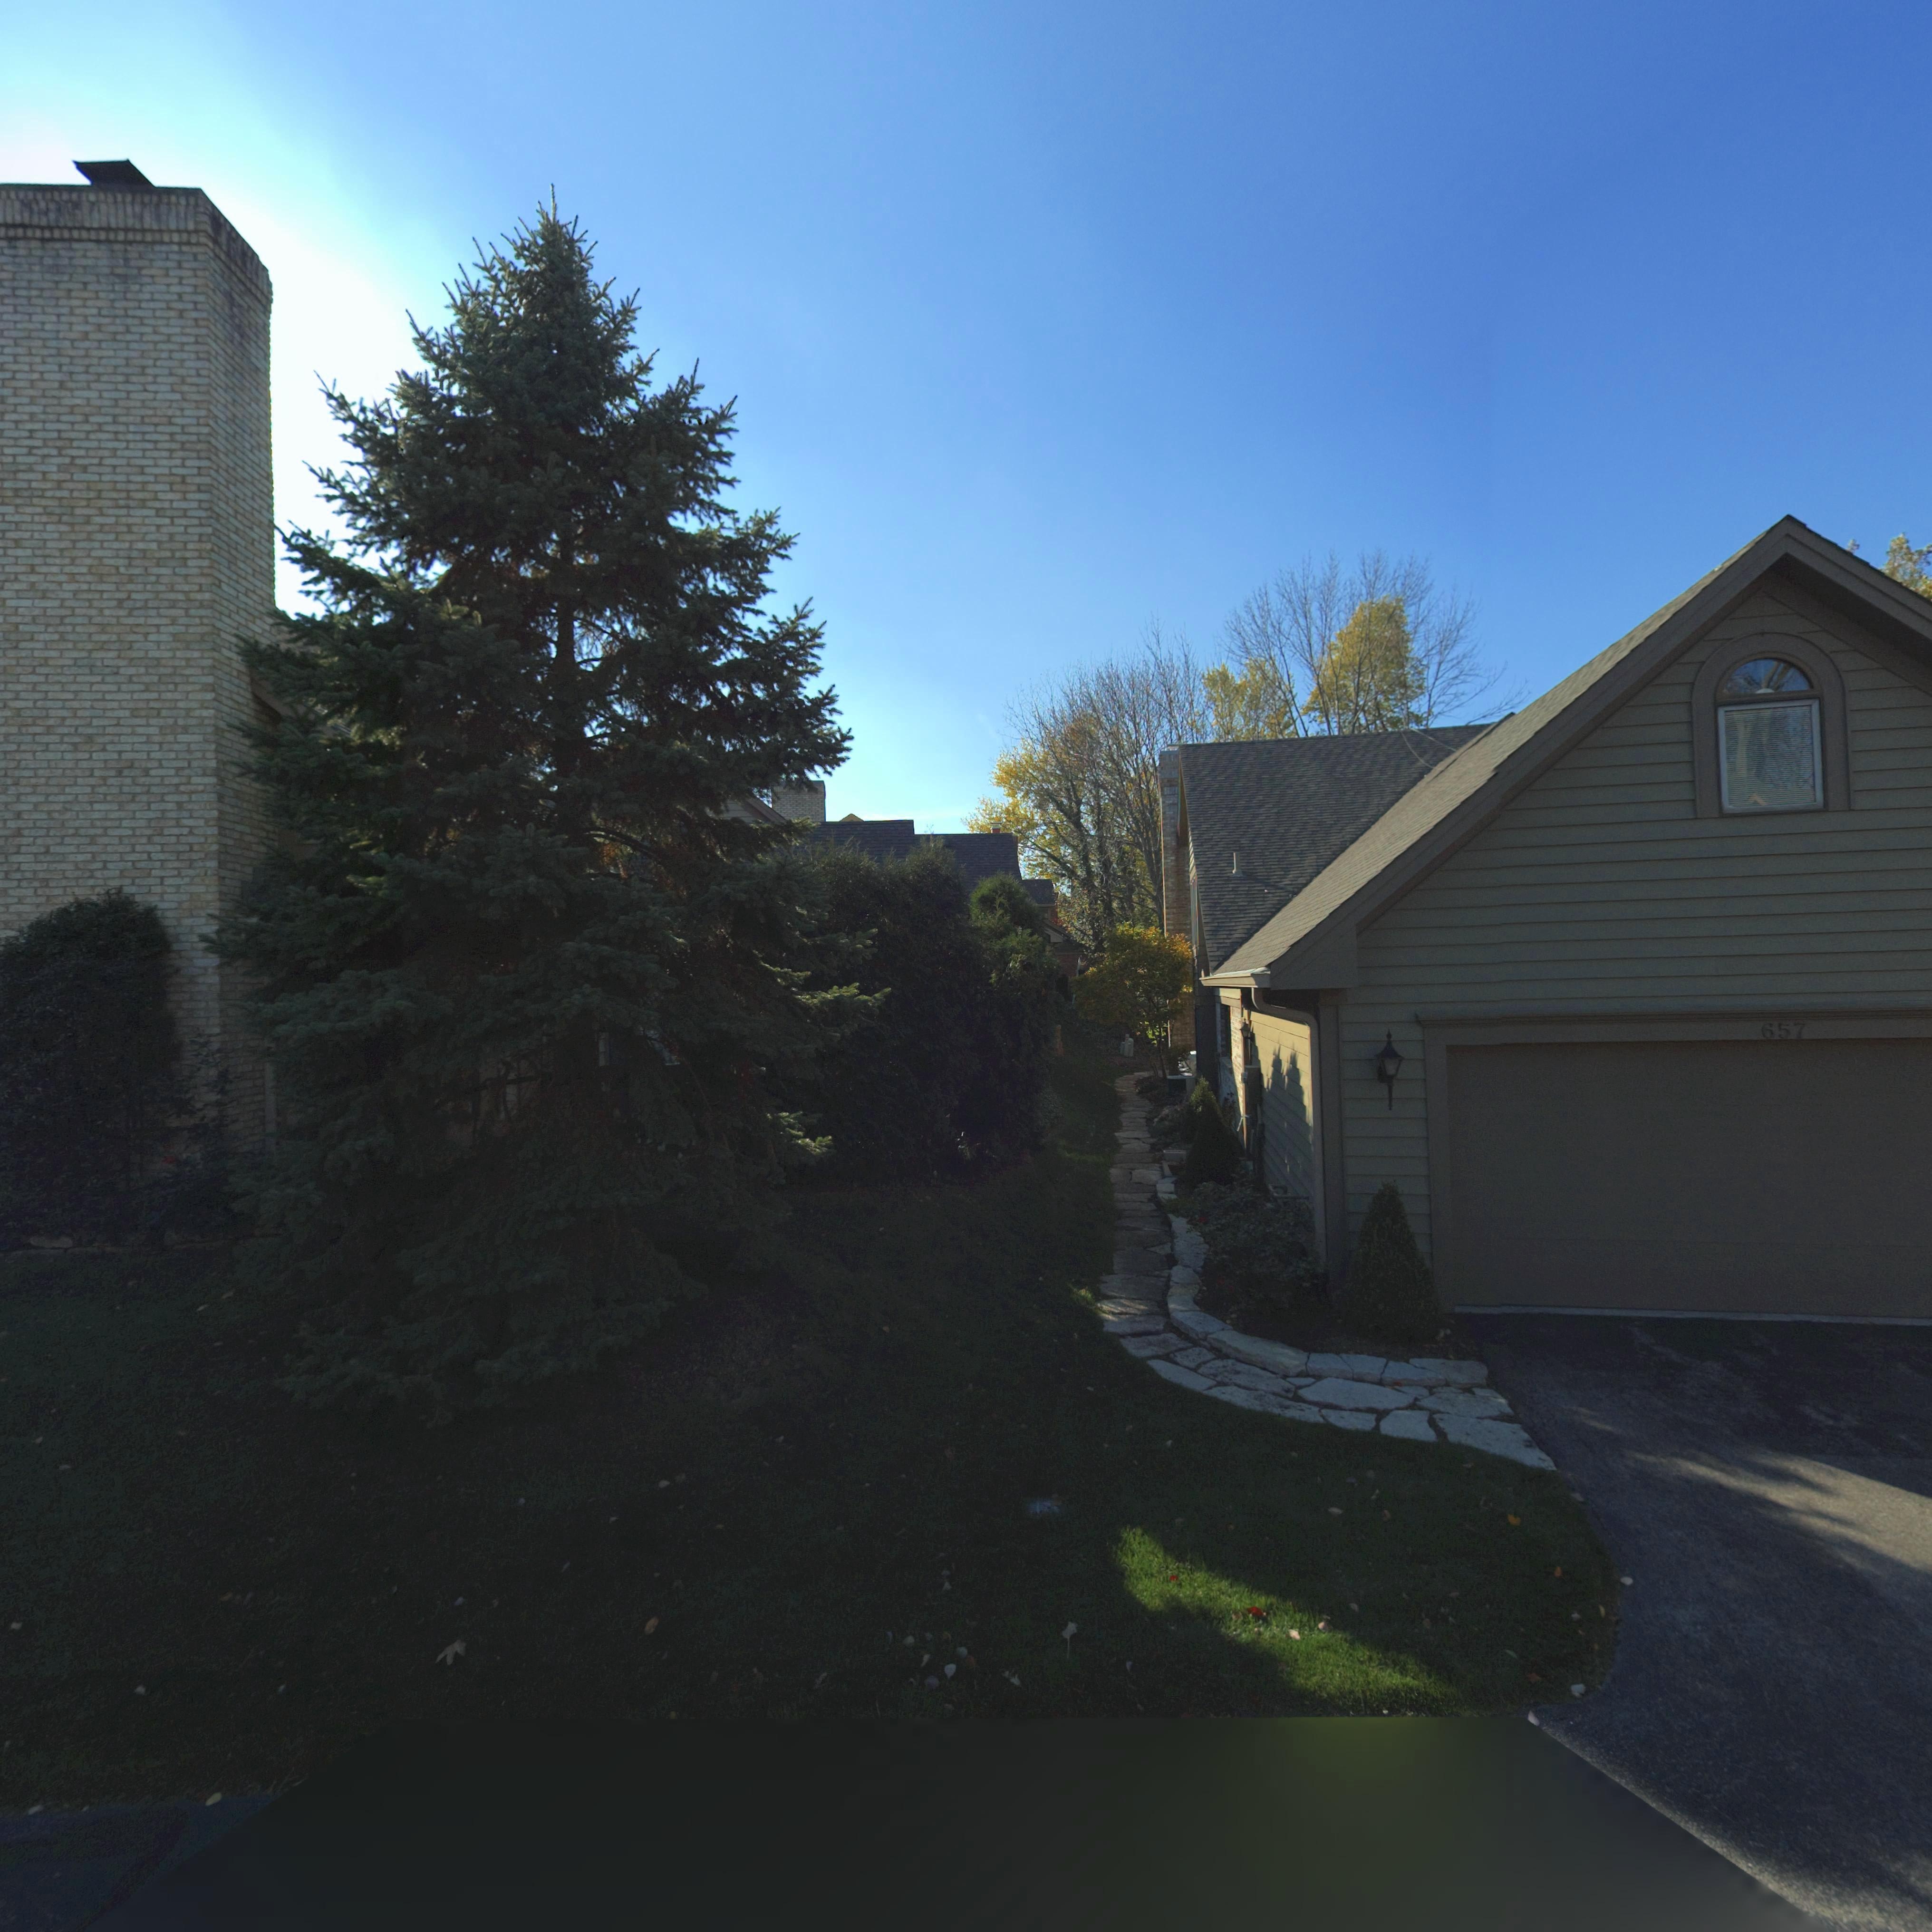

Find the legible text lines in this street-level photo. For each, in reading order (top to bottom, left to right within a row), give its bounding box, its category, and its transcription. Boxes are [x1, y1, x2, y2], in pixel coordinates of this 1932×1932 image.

[1759, 1021, 1807, 1039] StreetNumber: 657